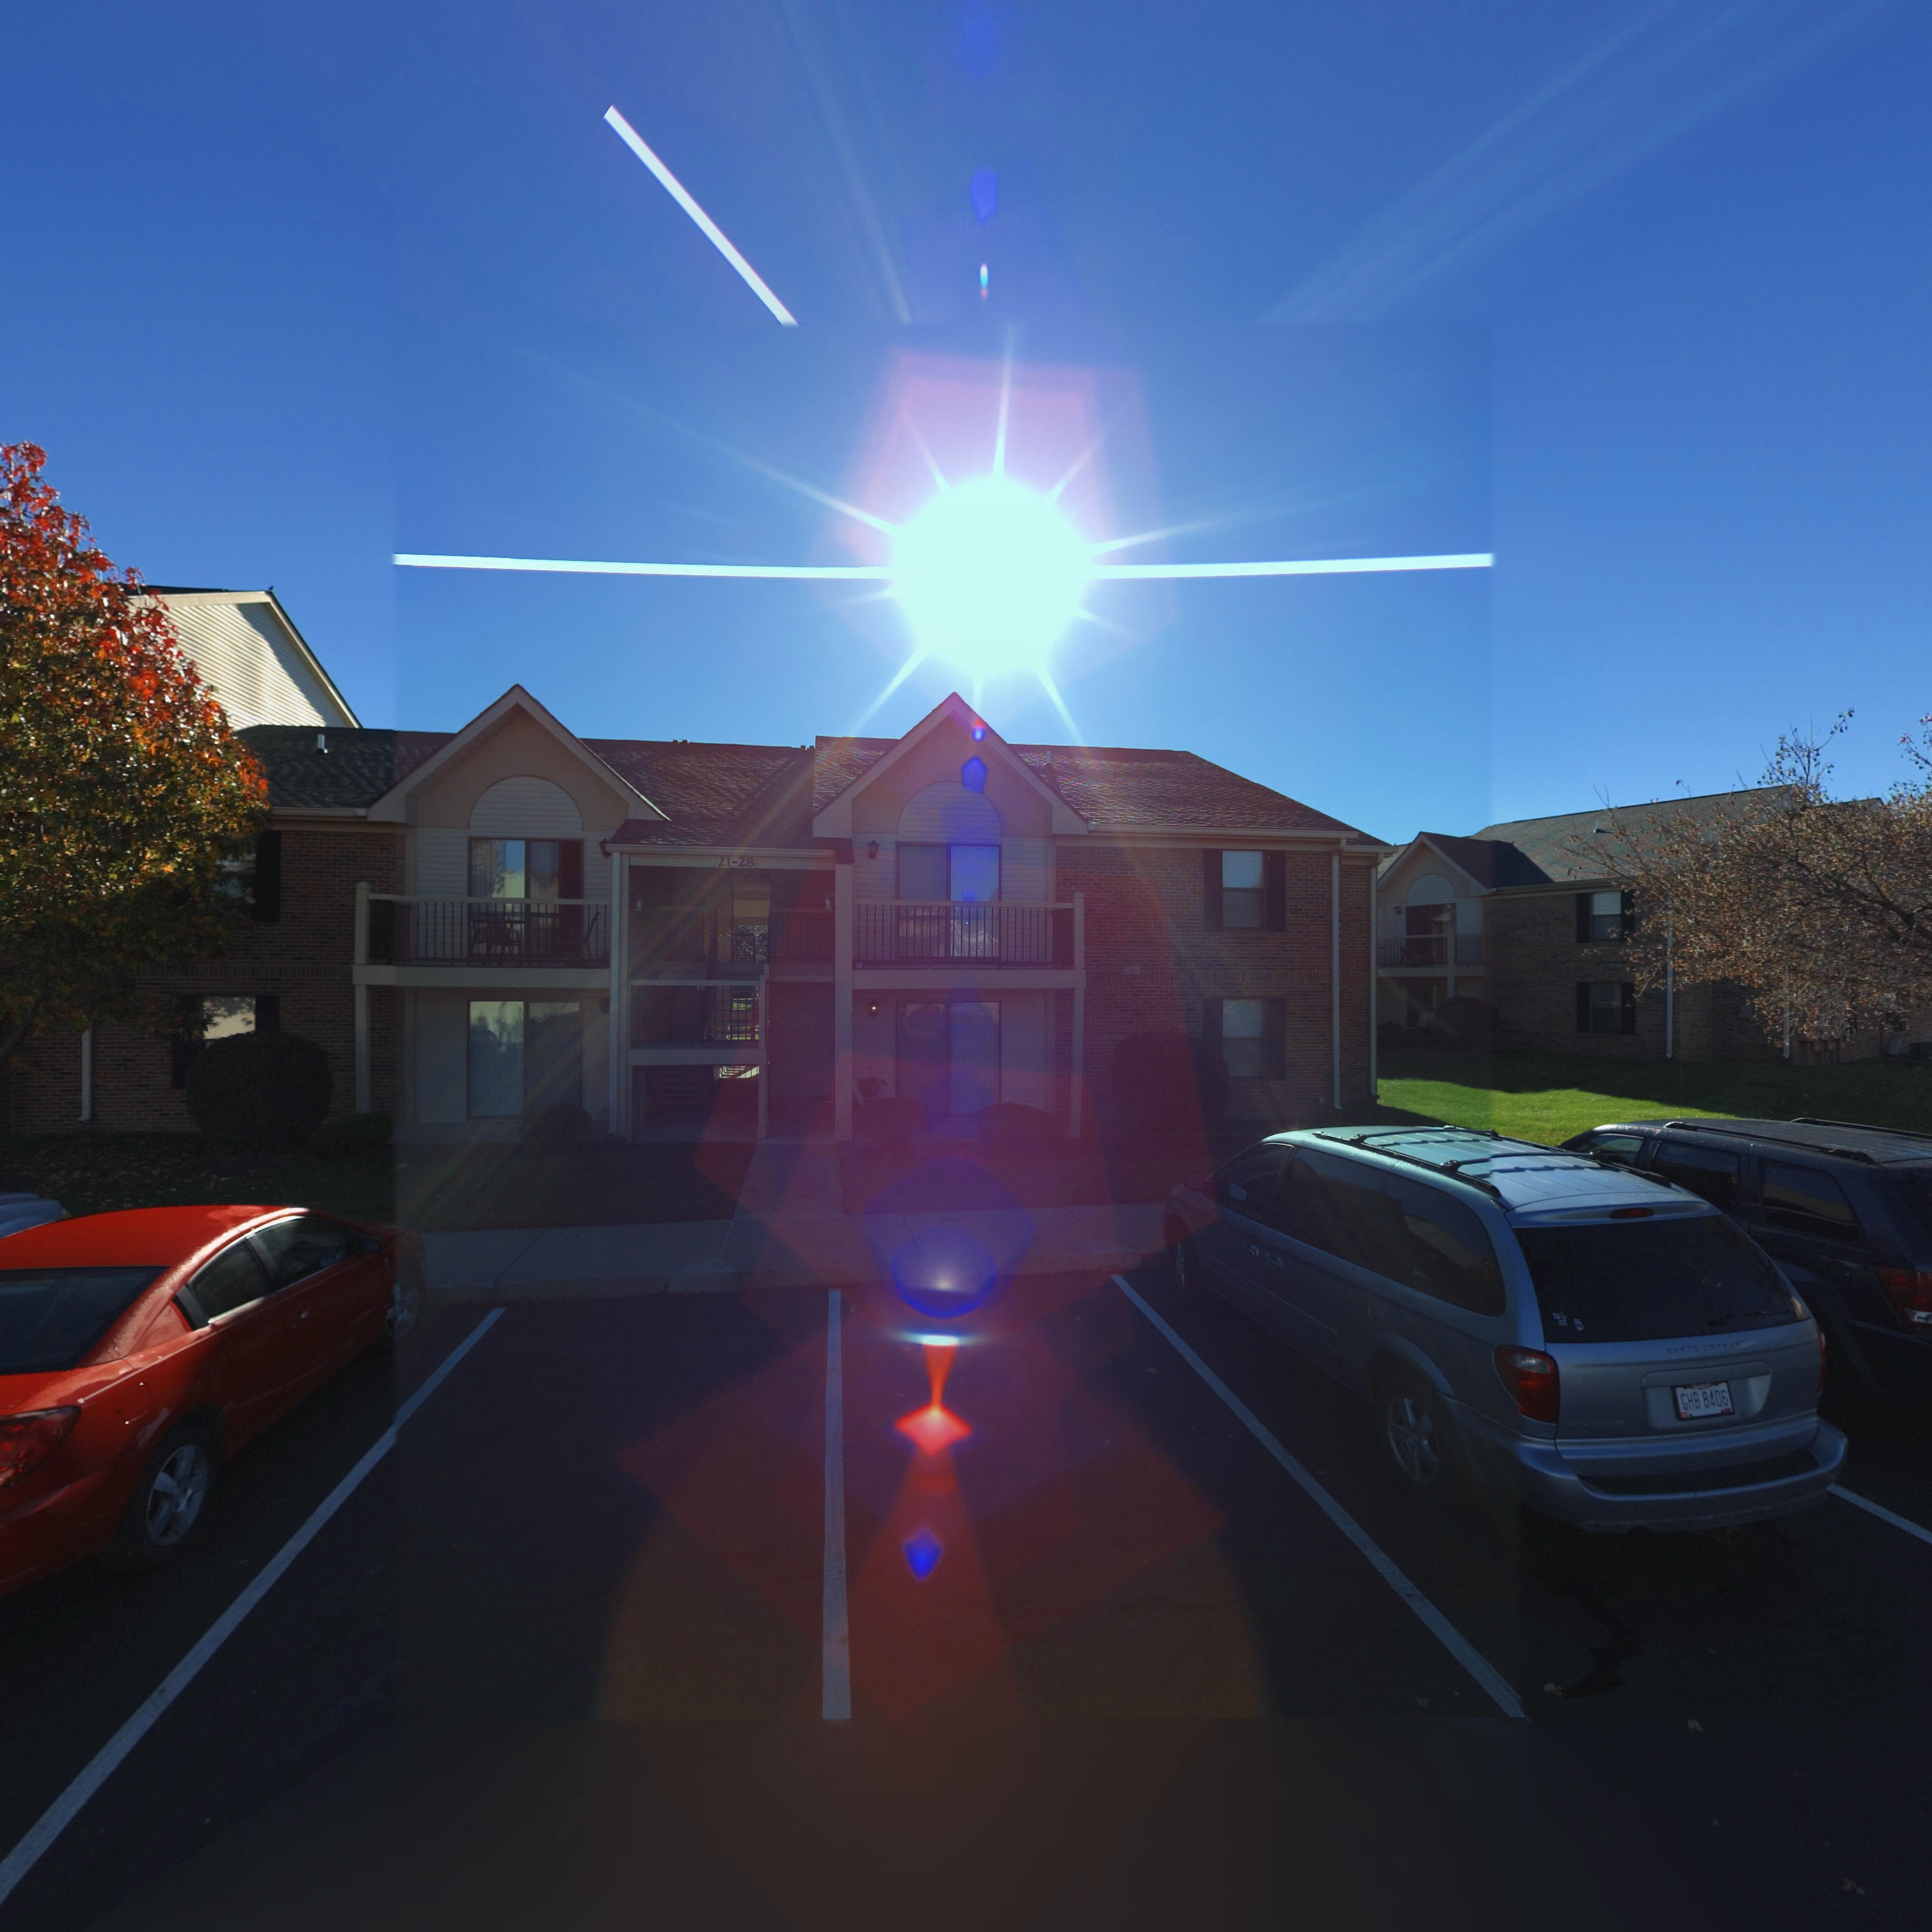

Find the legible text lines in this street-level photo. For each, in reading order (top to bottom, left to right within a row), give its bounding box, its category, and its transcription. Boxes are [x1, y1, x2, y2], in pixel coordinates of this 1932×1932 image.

[717, 856, 754, 868] StreetNumber: 21-28